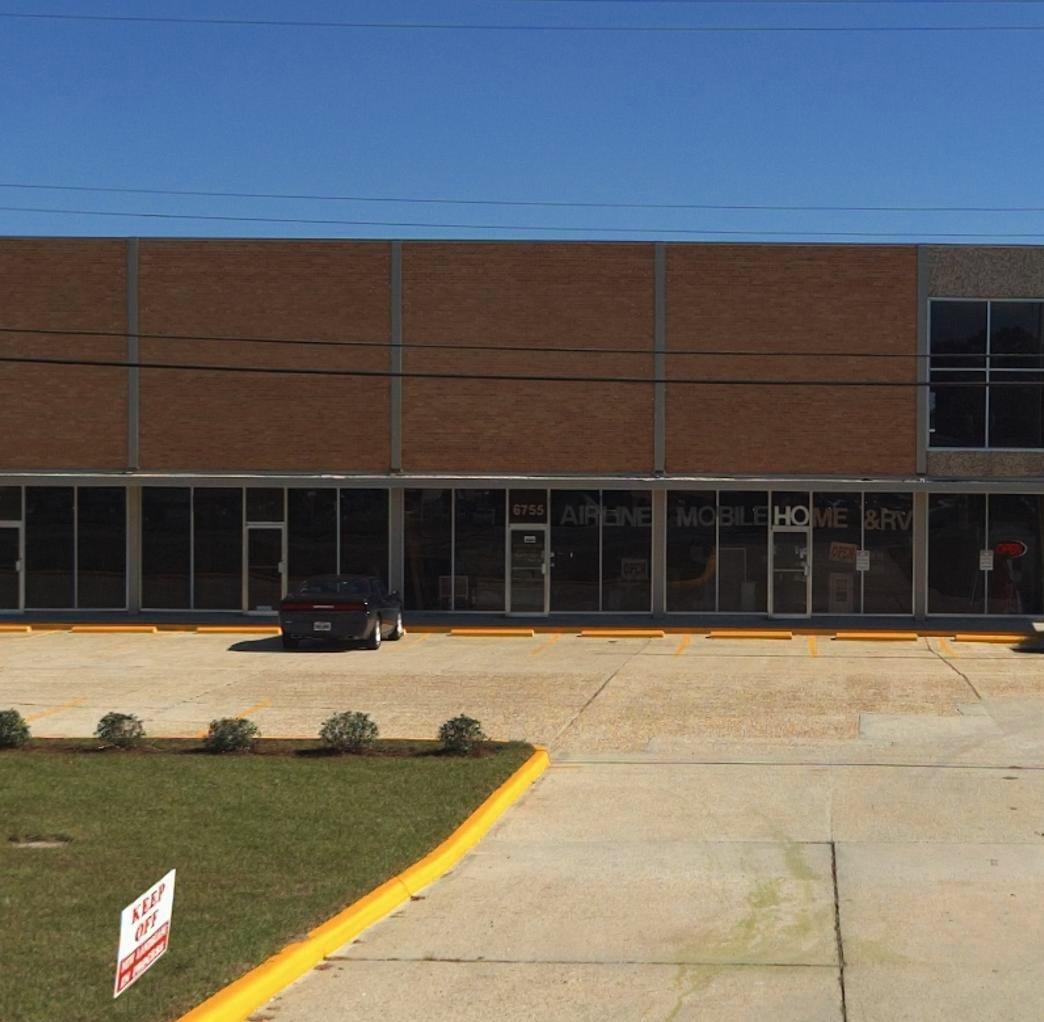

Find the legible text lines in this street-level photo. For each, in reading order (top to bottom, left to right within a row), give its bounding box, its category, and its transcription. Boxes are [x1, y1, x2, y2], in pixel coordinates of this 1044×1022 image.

[512, 503, 544, 517] StreetNumber: 6755
[558, 504, 652, 528] BusinessName: AIRLINE
[676, 505, 849, 529] BusinessName: MOBILEHOME
[880, 509, 913, 531] BusinessName: RV
[831, 544, 855, 561] None: OPEN
[994, 543, 1024, 555] None: OPEN
[623, 562, 646, 575] None: OPEN
[132, 882, 167, 926] None: KEEP
[134, 907, 158, 943] None: OFF